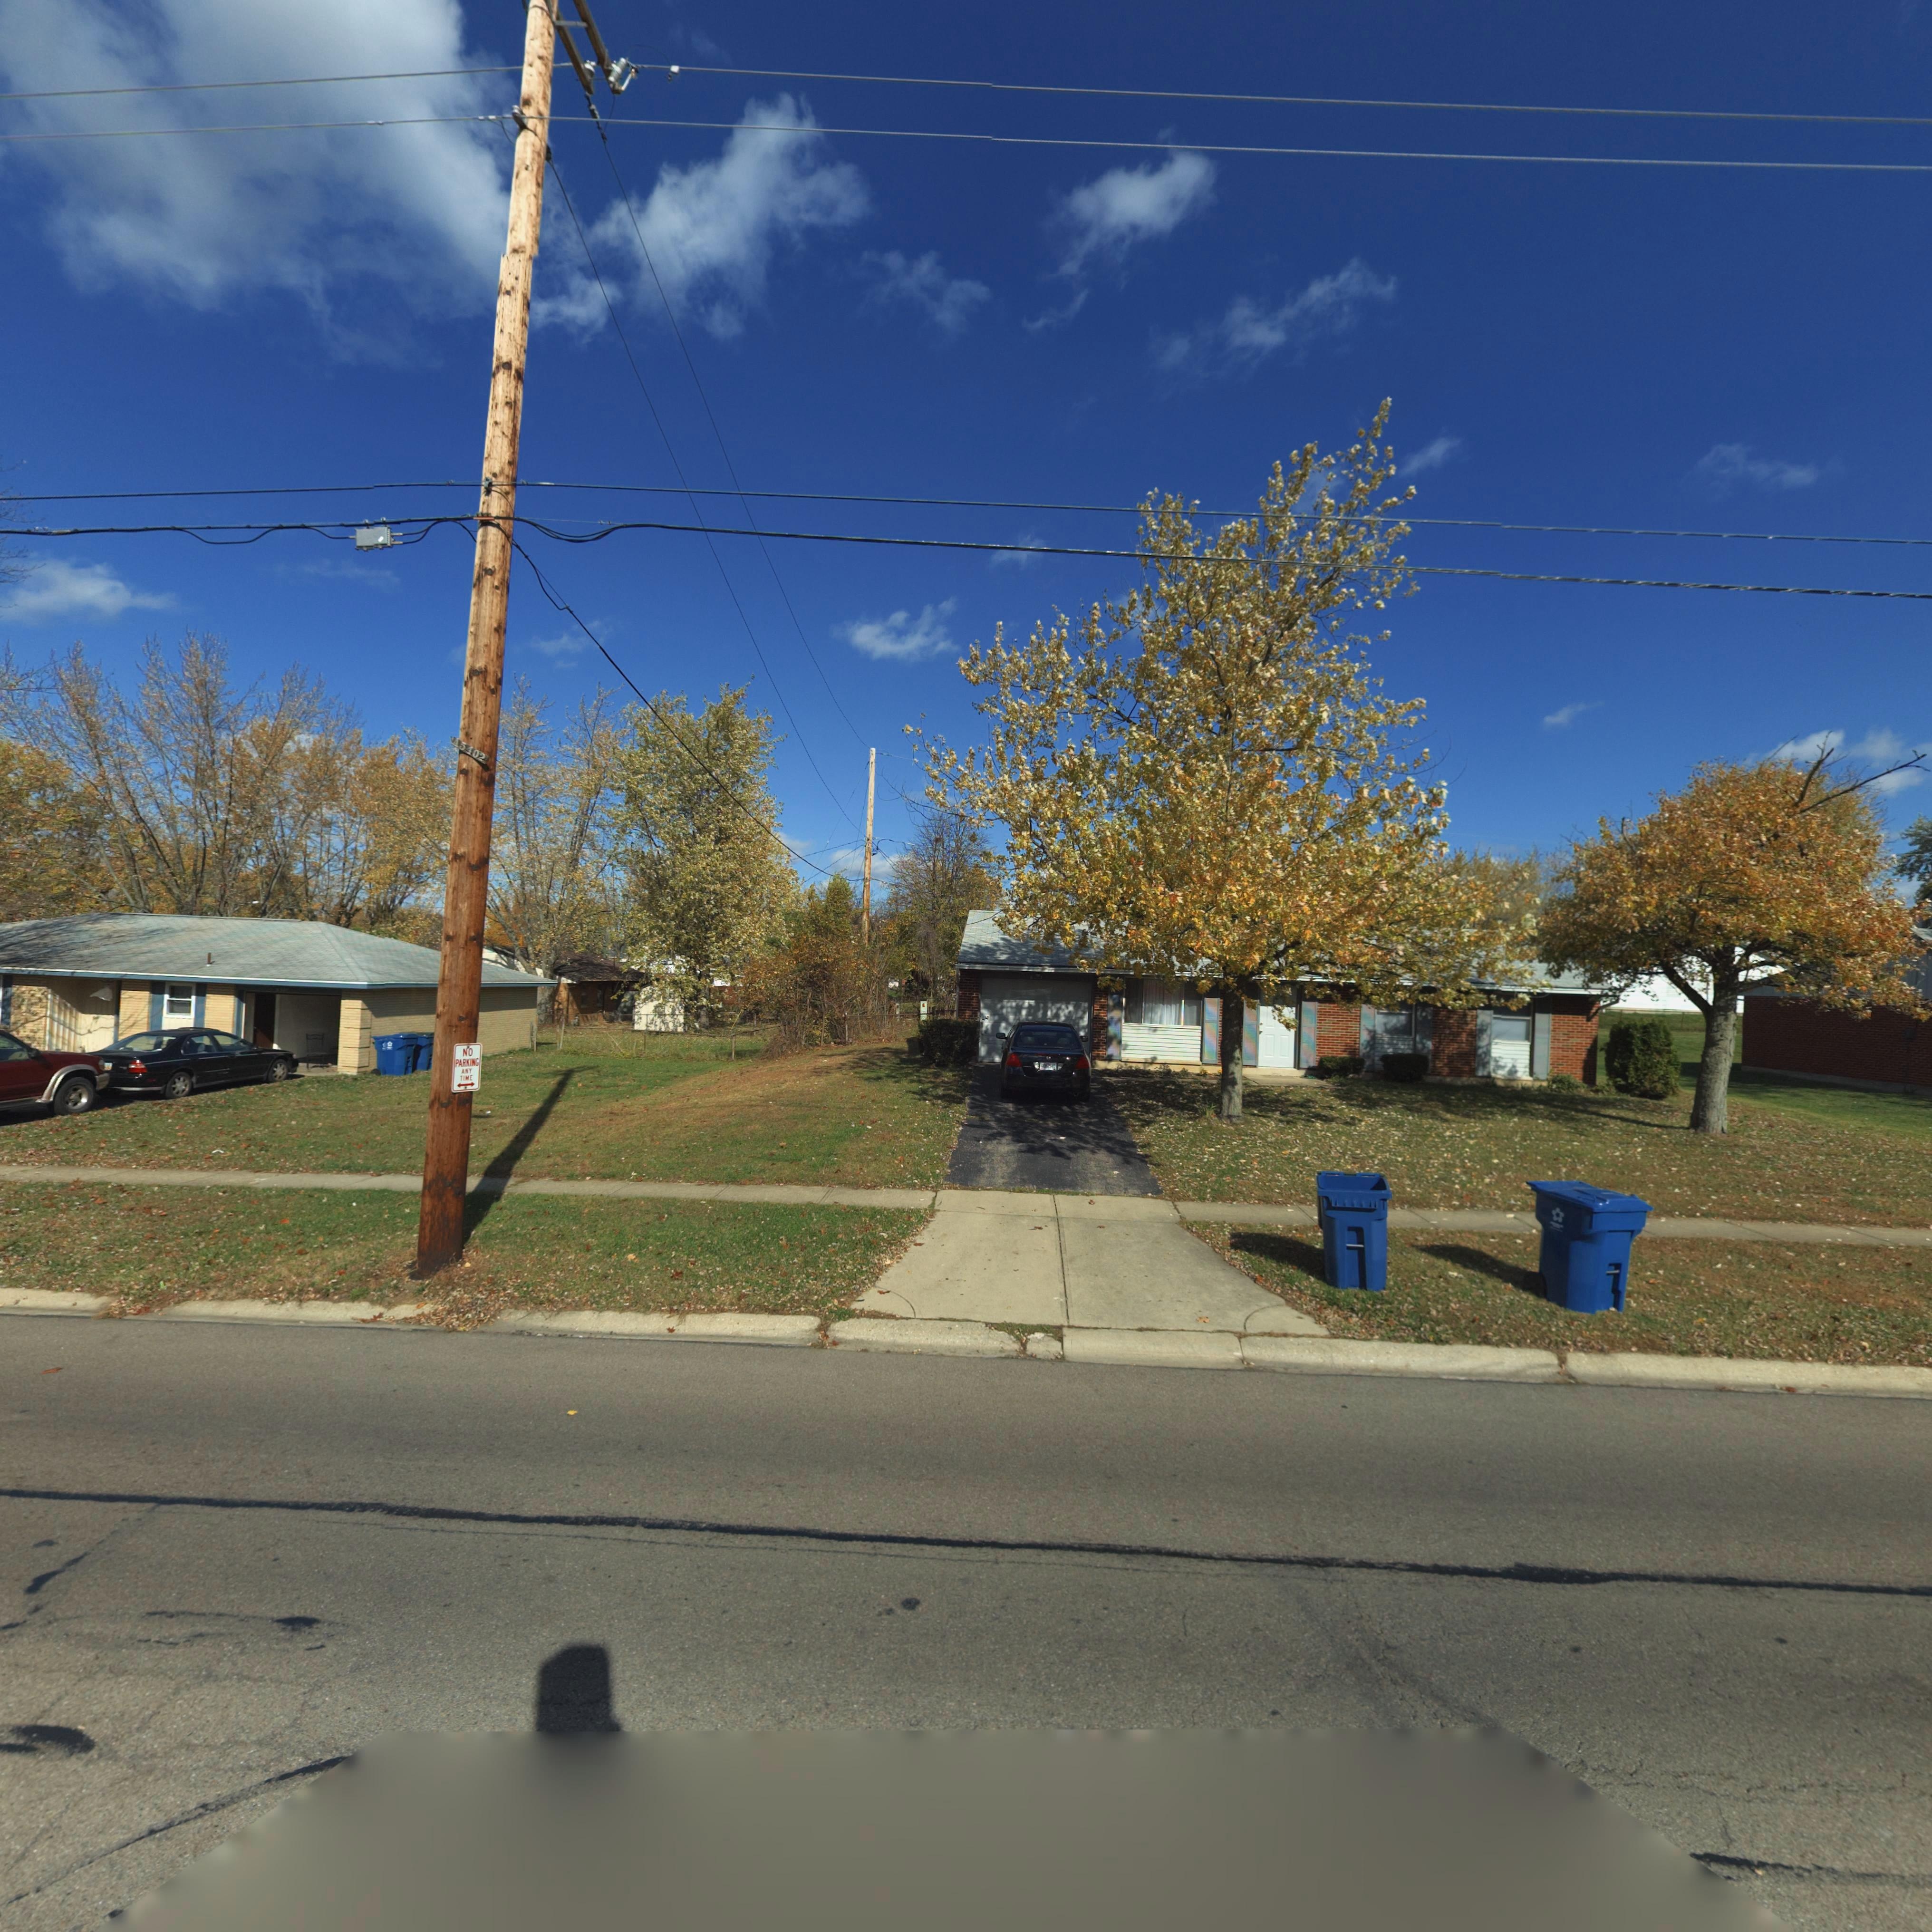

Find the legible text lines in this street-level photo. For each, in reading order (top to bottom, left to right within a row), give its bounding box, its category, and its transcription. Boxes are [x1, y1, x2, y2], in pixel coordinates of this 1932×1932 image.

[1029, 975, 1043, 980] StreetNumber: 6**3